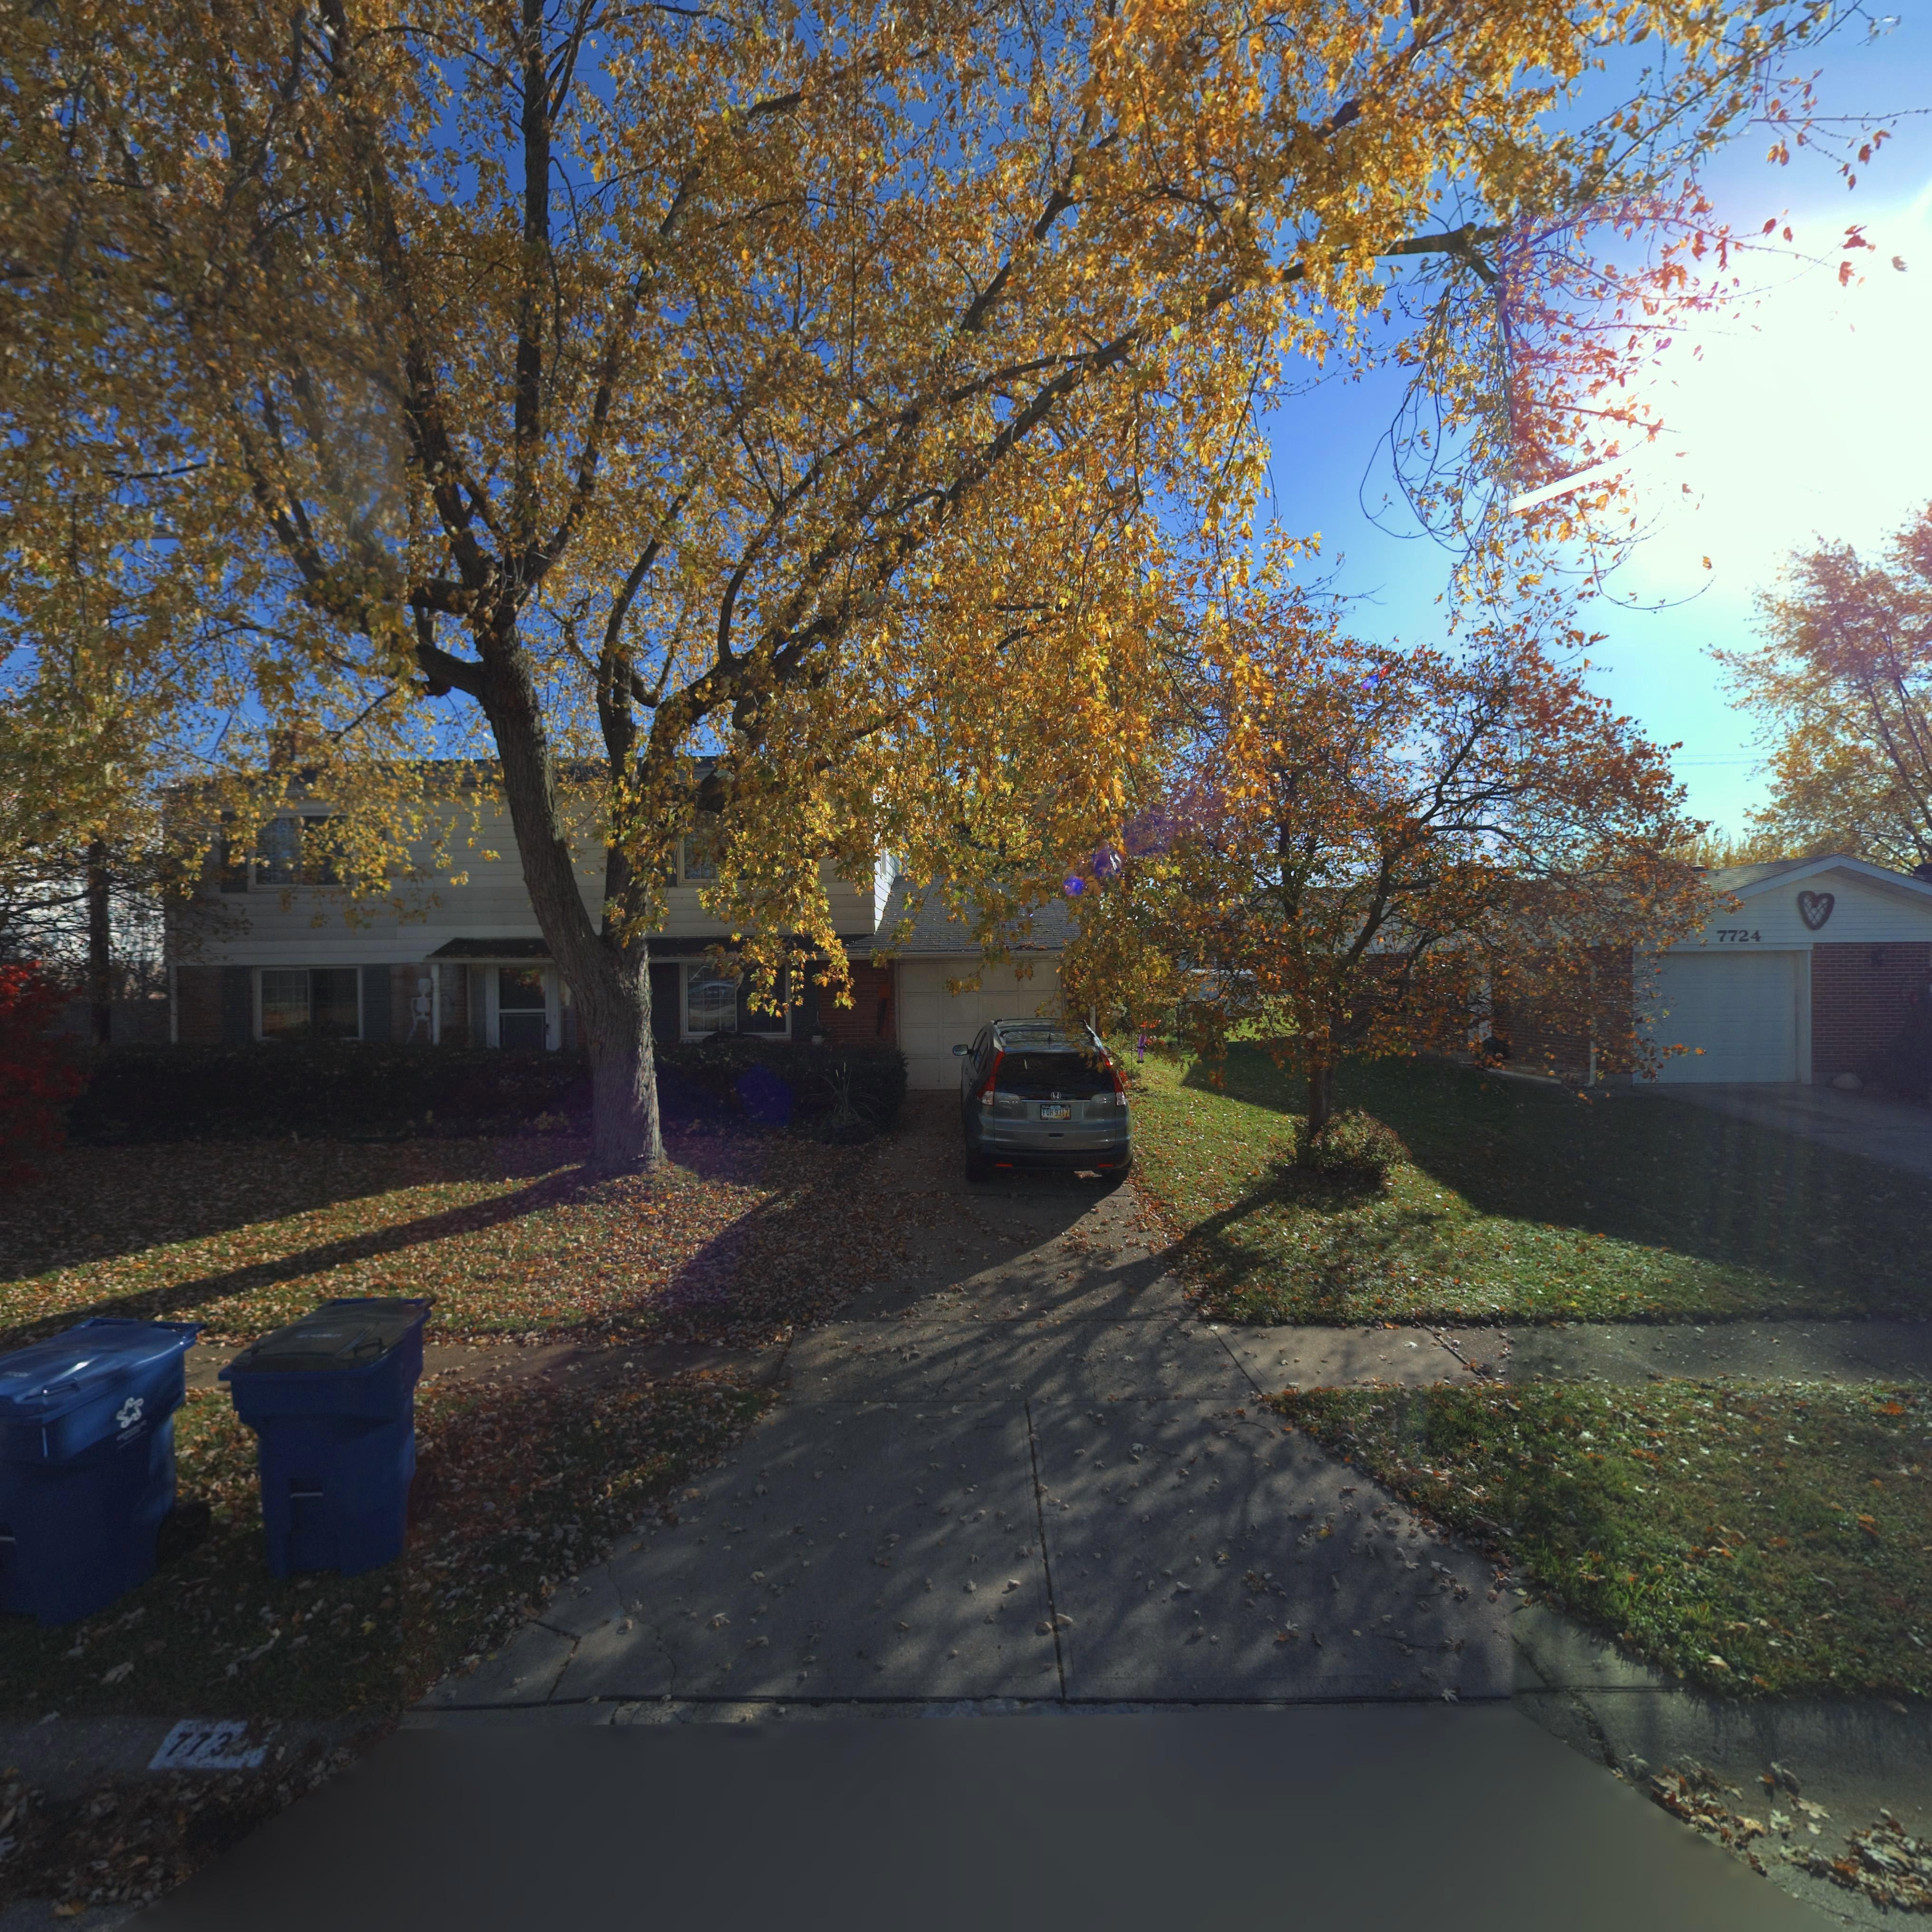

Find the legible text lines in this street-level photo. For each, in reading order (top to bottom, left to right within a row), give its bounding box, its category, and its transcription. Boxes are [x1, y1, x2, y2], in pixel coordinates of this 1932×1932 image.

[1716, 928, 1763, 943] StreetNumber: 7724
[163, 1729, 236, 1760] StreetNumber: 773